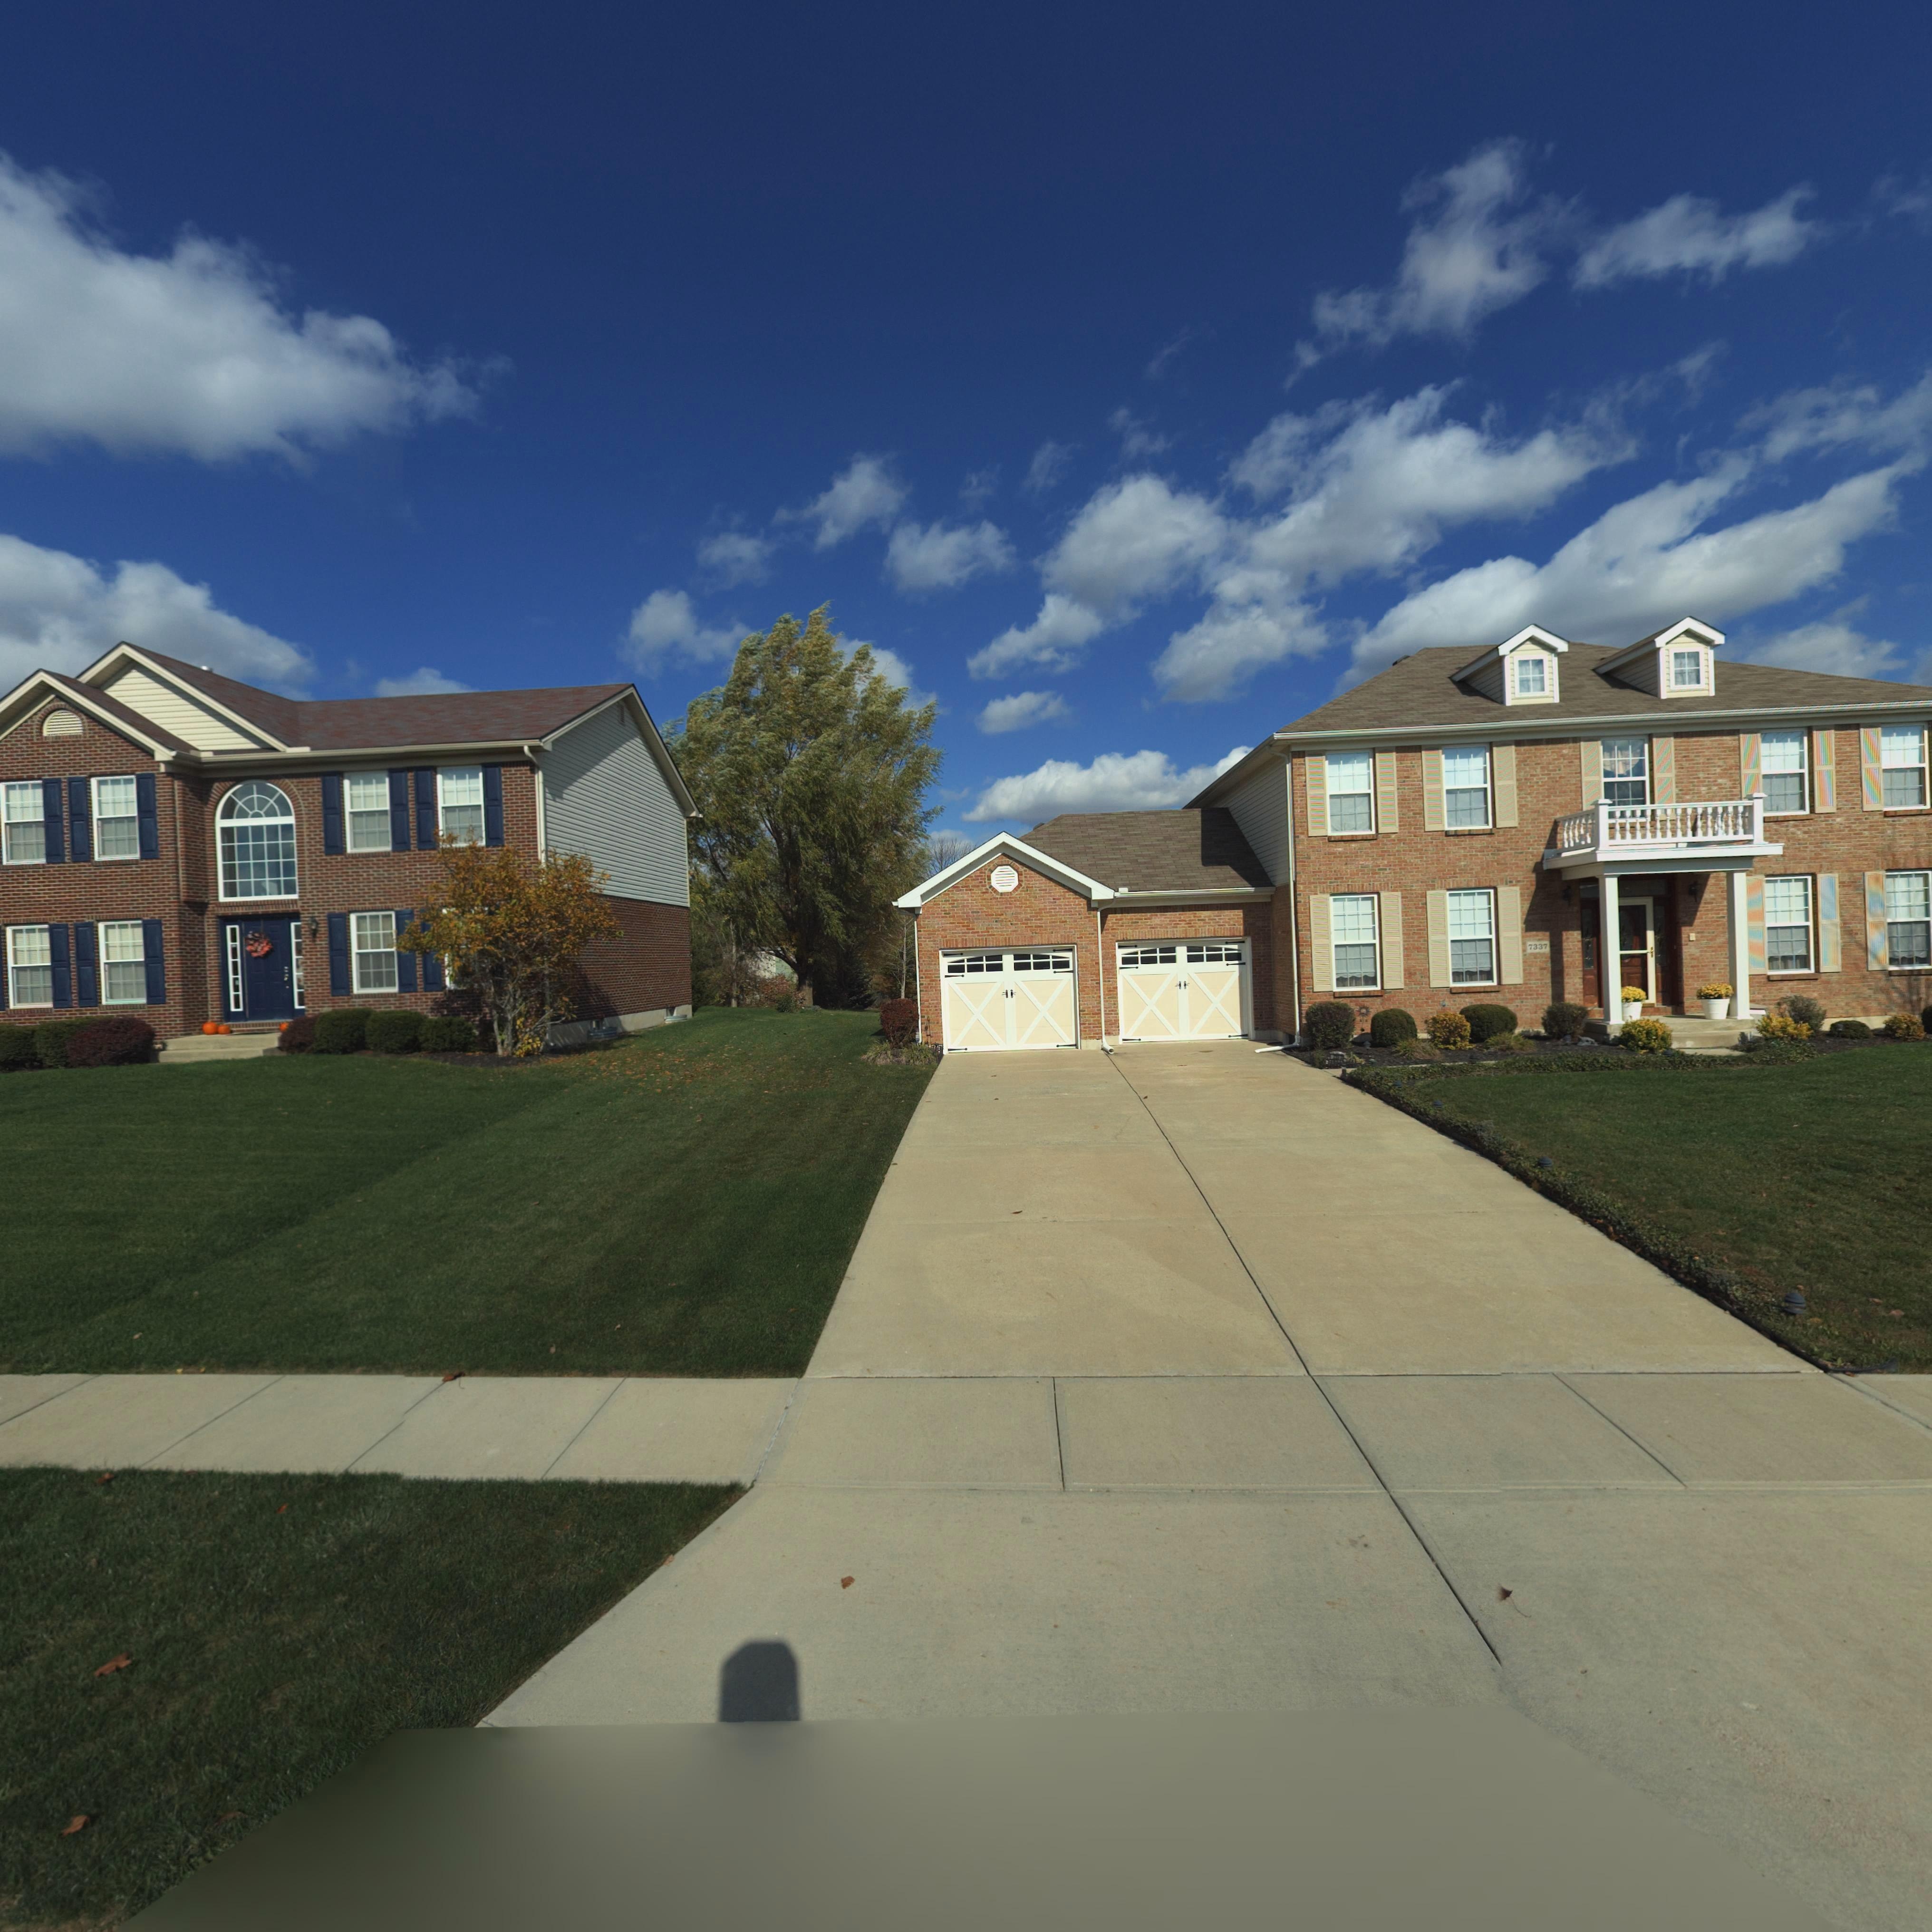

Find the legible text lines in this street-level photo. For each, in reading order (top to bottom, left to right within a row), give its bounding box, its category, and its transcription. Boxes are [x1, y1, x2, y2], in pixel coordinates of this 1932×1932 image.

[1528, 943, 1548, 951] StreetNumber: 7337